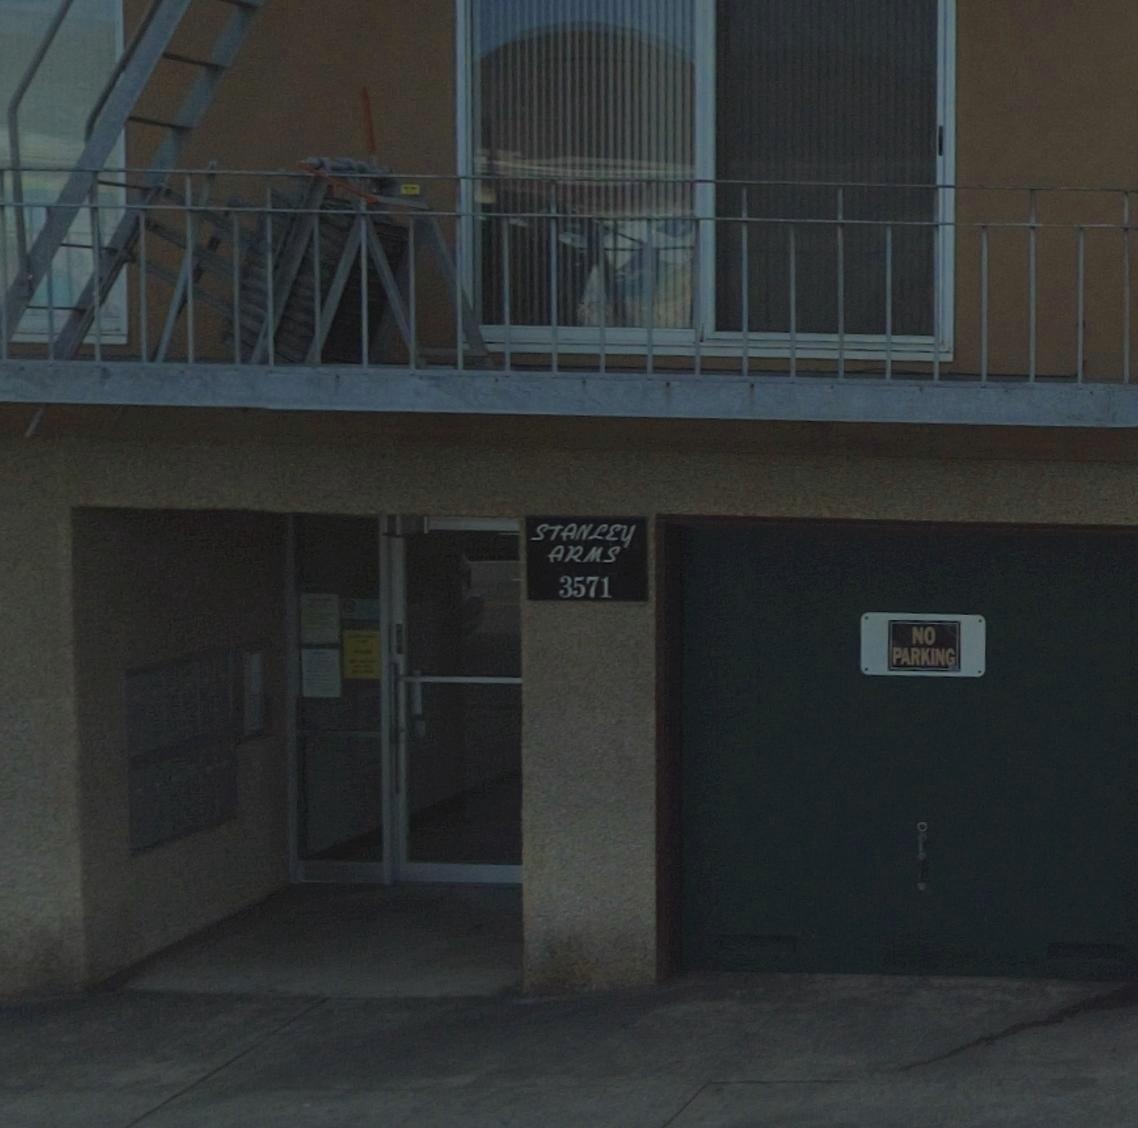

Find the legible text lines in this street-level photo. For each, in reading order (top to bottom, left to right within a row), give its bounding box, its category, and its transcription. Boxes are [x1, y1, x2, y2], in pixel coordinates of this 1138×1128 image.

[530, 521, 639, 542] BusinessName: STANLEY
[544, 544, 622, 563] BusinessName: ARMS
[556, 575, 612, 599] StreetNumber: 3571
[911, 625, 937, 646] None: NO
[892, 647, 957, 666] None: PARKING